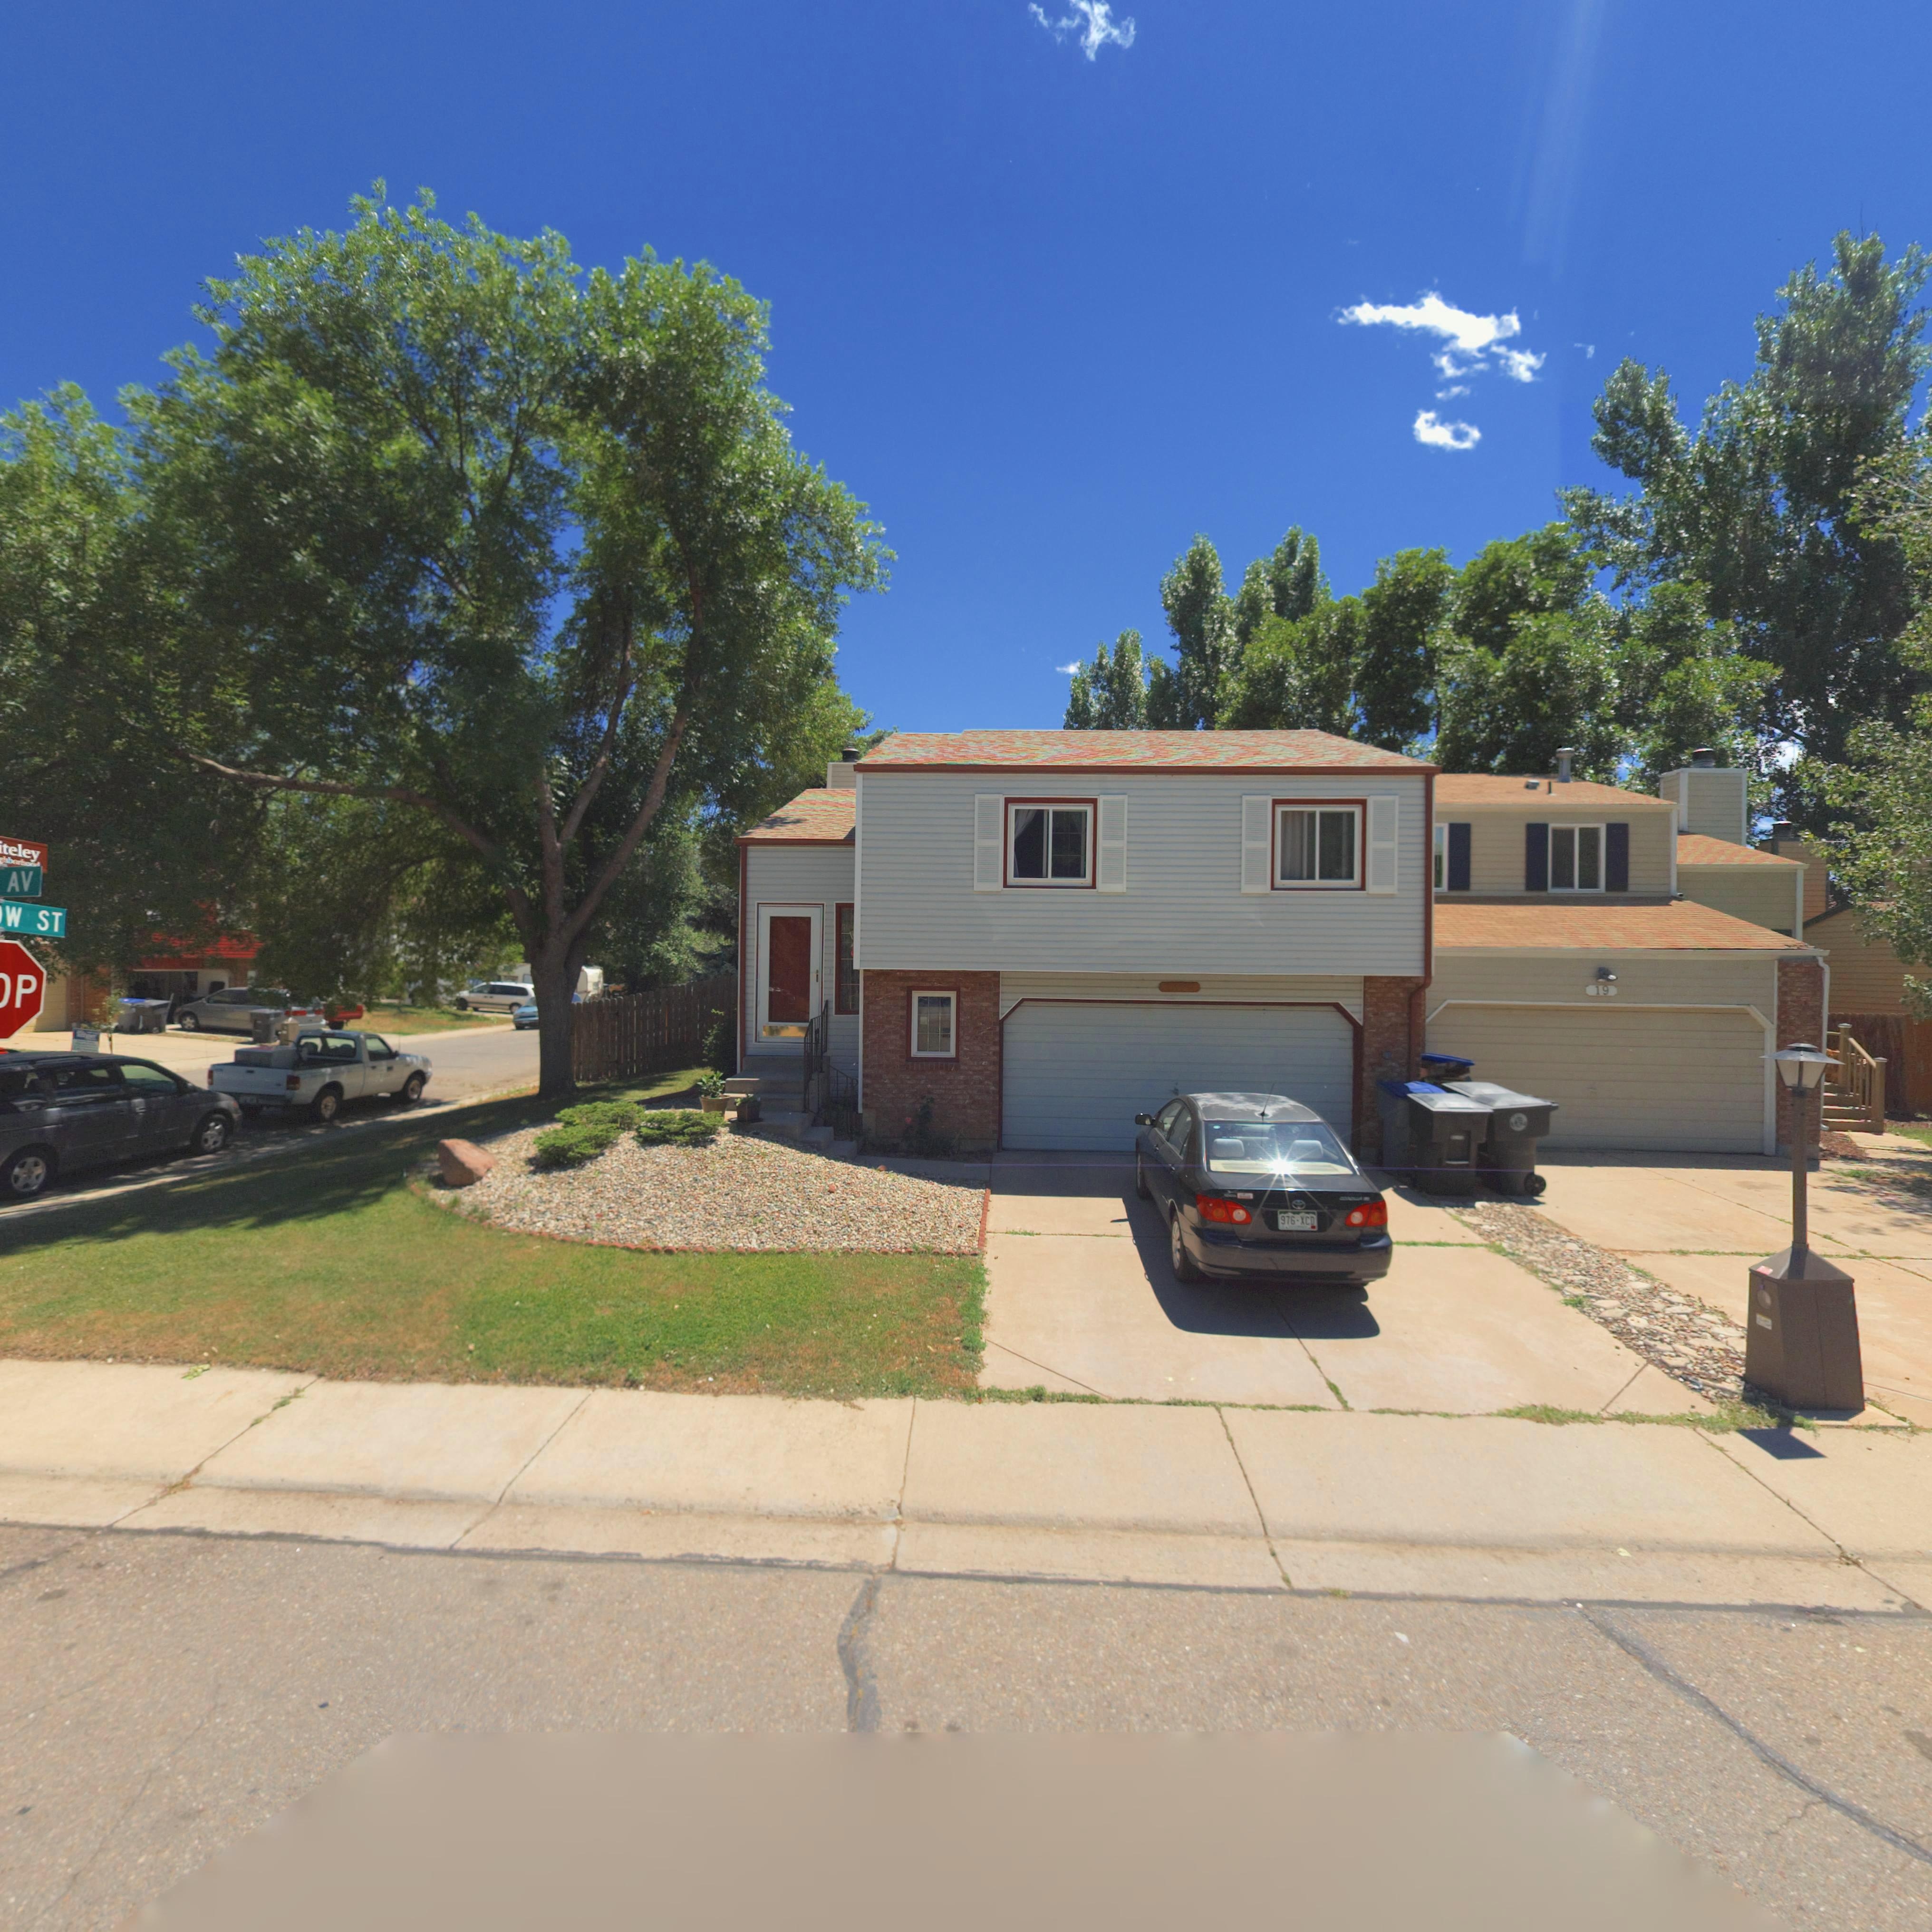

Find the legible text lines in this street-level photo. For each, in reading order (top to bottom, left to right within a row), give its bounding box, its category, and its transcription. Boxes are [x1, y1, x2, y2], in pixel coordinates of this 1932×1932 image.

[5, 870, 35, 893] StreetName: AV
[5, 904, 63, 933] StreetName: W ST
[1594, 985, 1609, 995] StreetNumber: 19